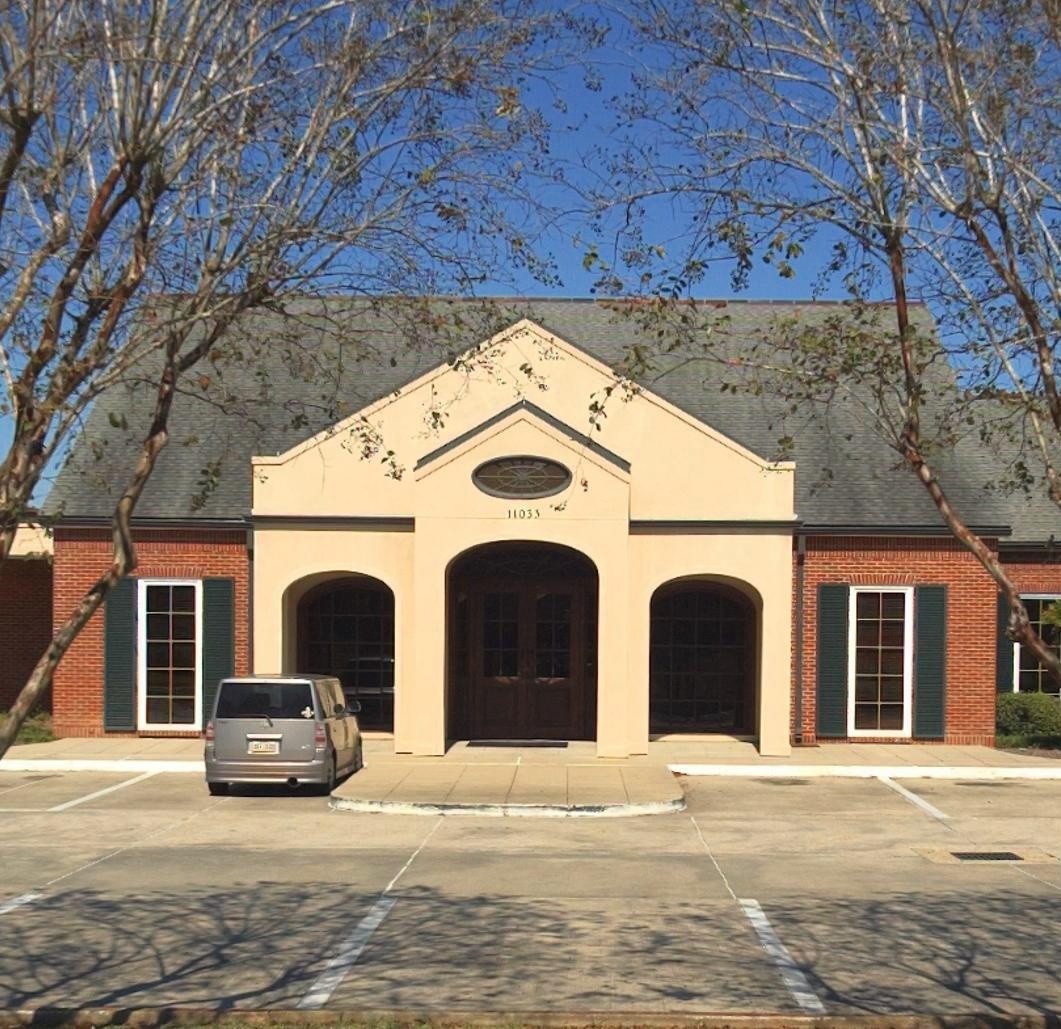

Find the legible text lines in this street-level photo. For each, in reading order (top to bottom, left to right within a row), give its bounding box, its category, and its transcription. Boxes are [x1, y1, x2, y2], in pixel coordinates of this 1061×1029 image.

[507, 508, 540, 519] StreetNumber: 11033